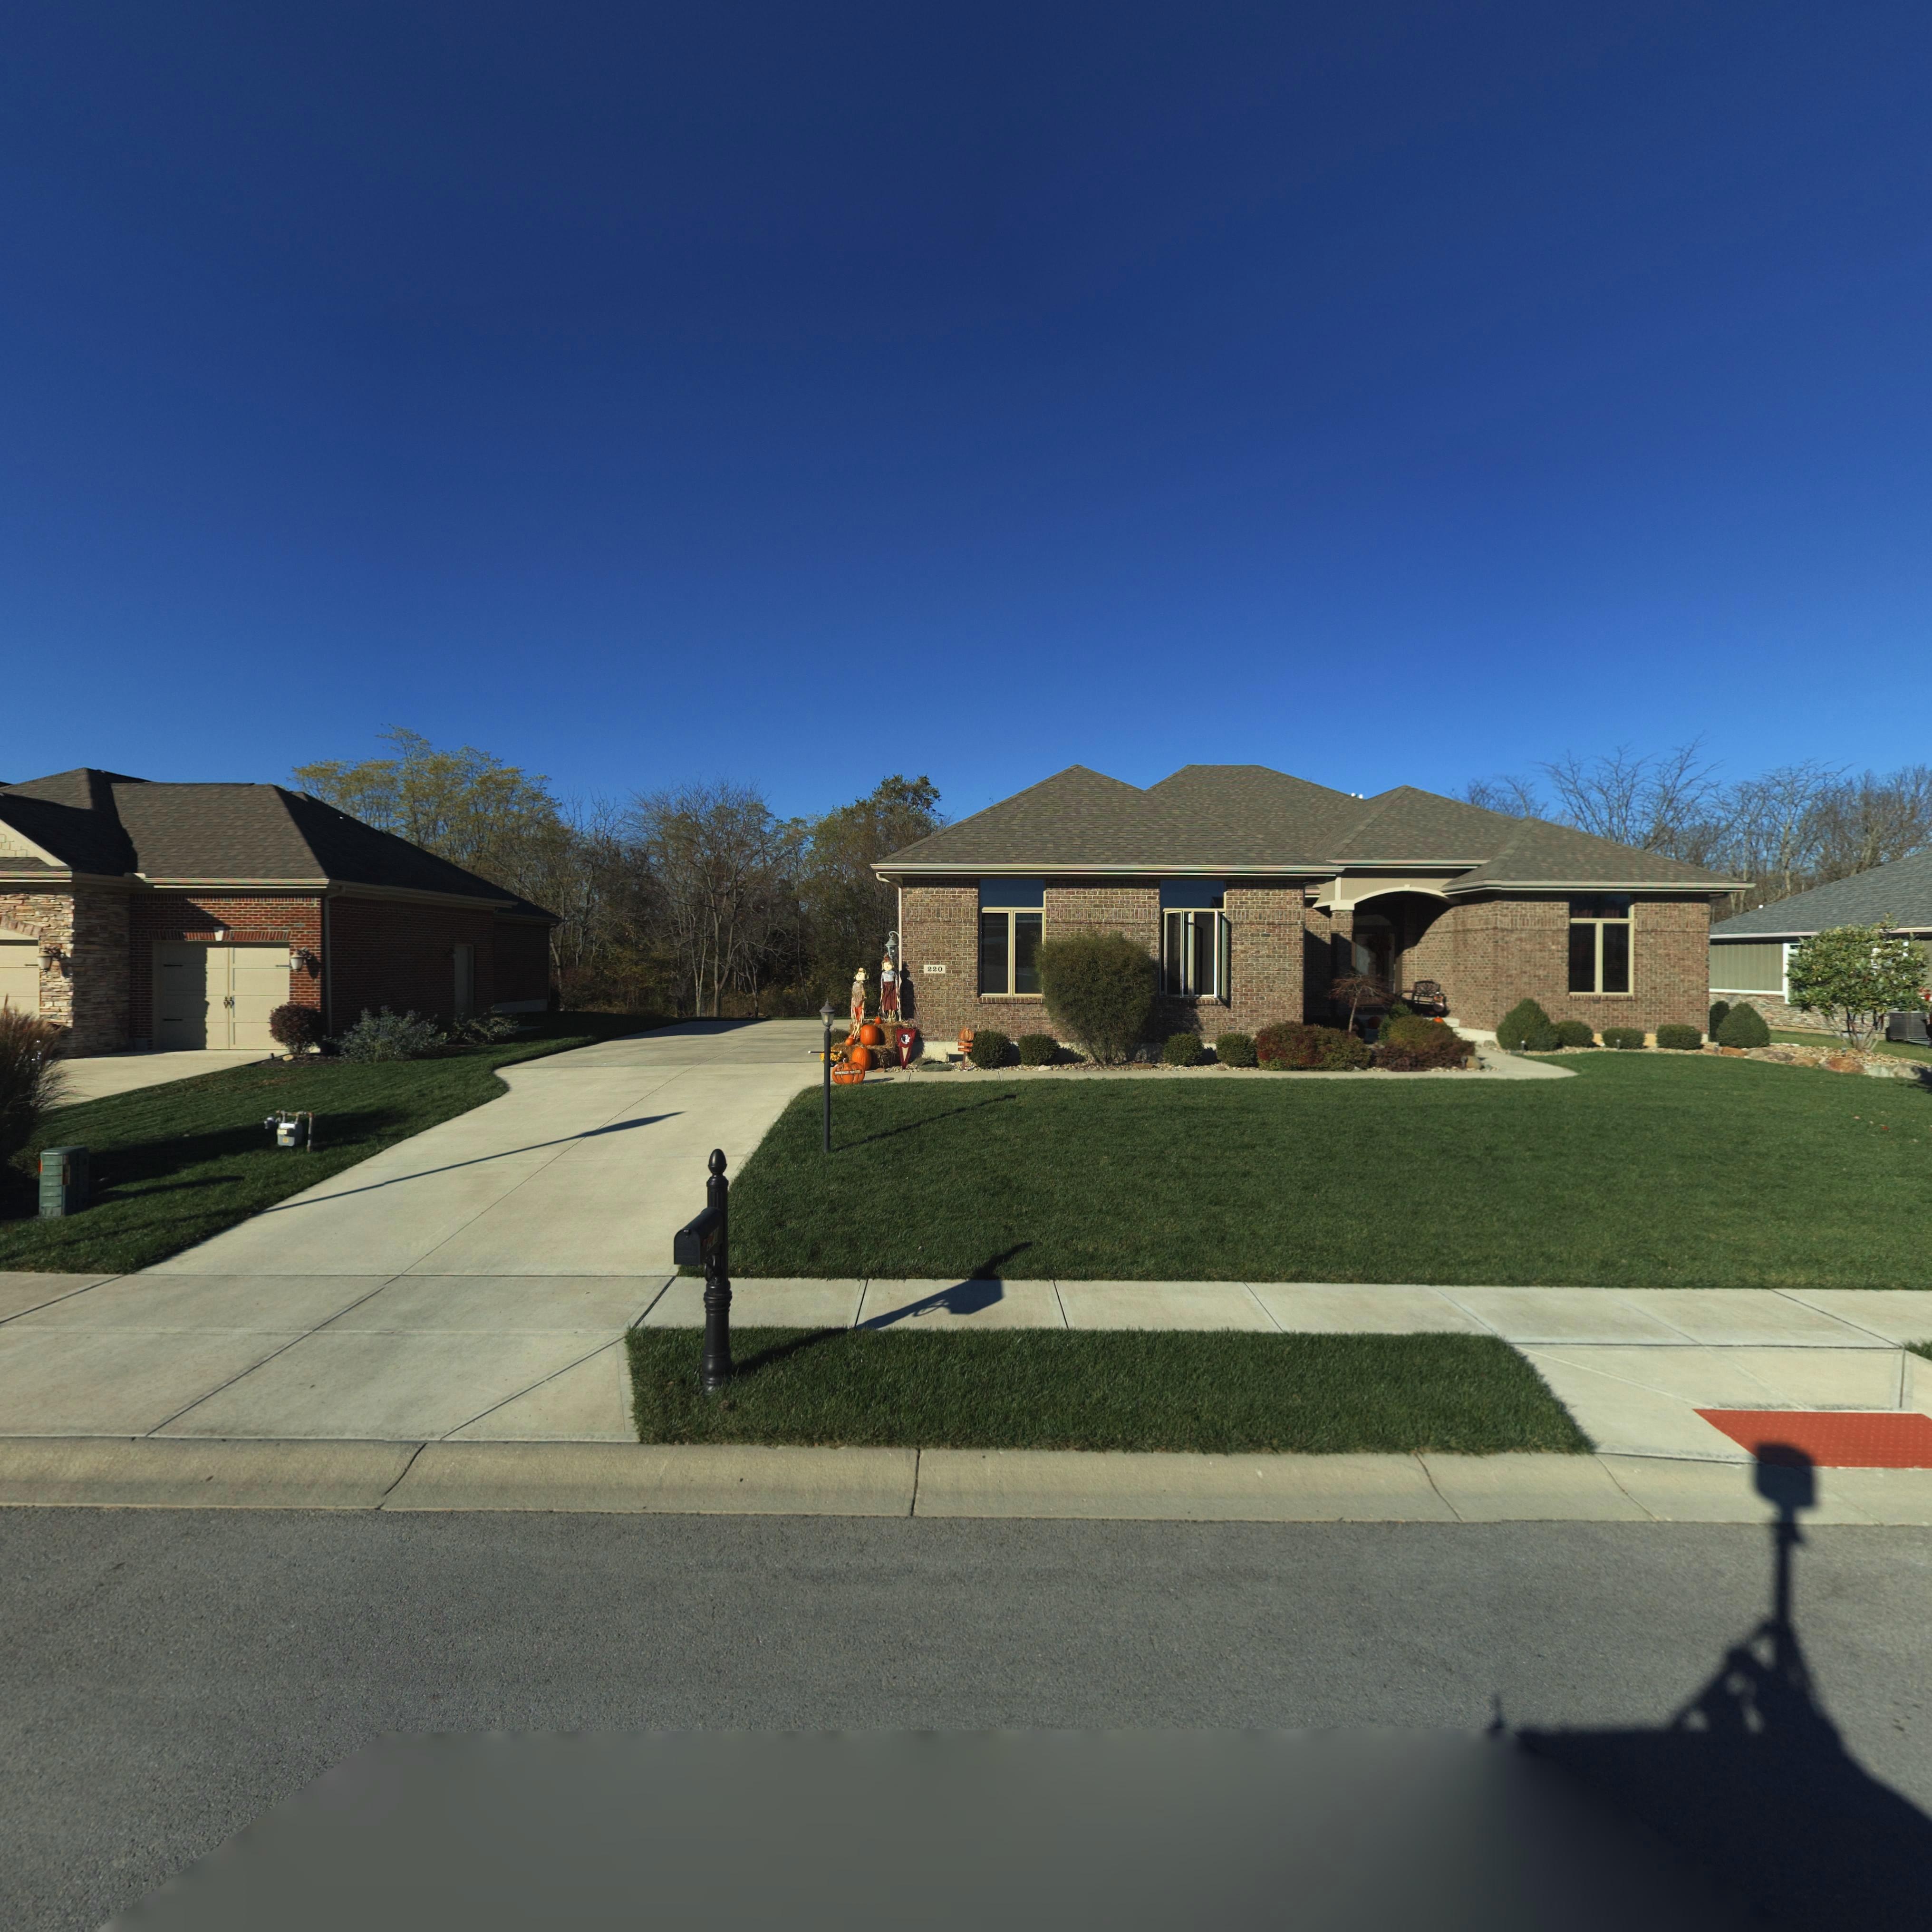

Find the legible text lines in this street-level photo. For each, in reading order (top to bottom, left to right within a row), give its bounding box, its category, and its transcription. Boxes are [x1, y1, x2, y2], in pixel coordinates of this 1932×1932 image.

[927, 966, 943, 973] StreetNumber: 220